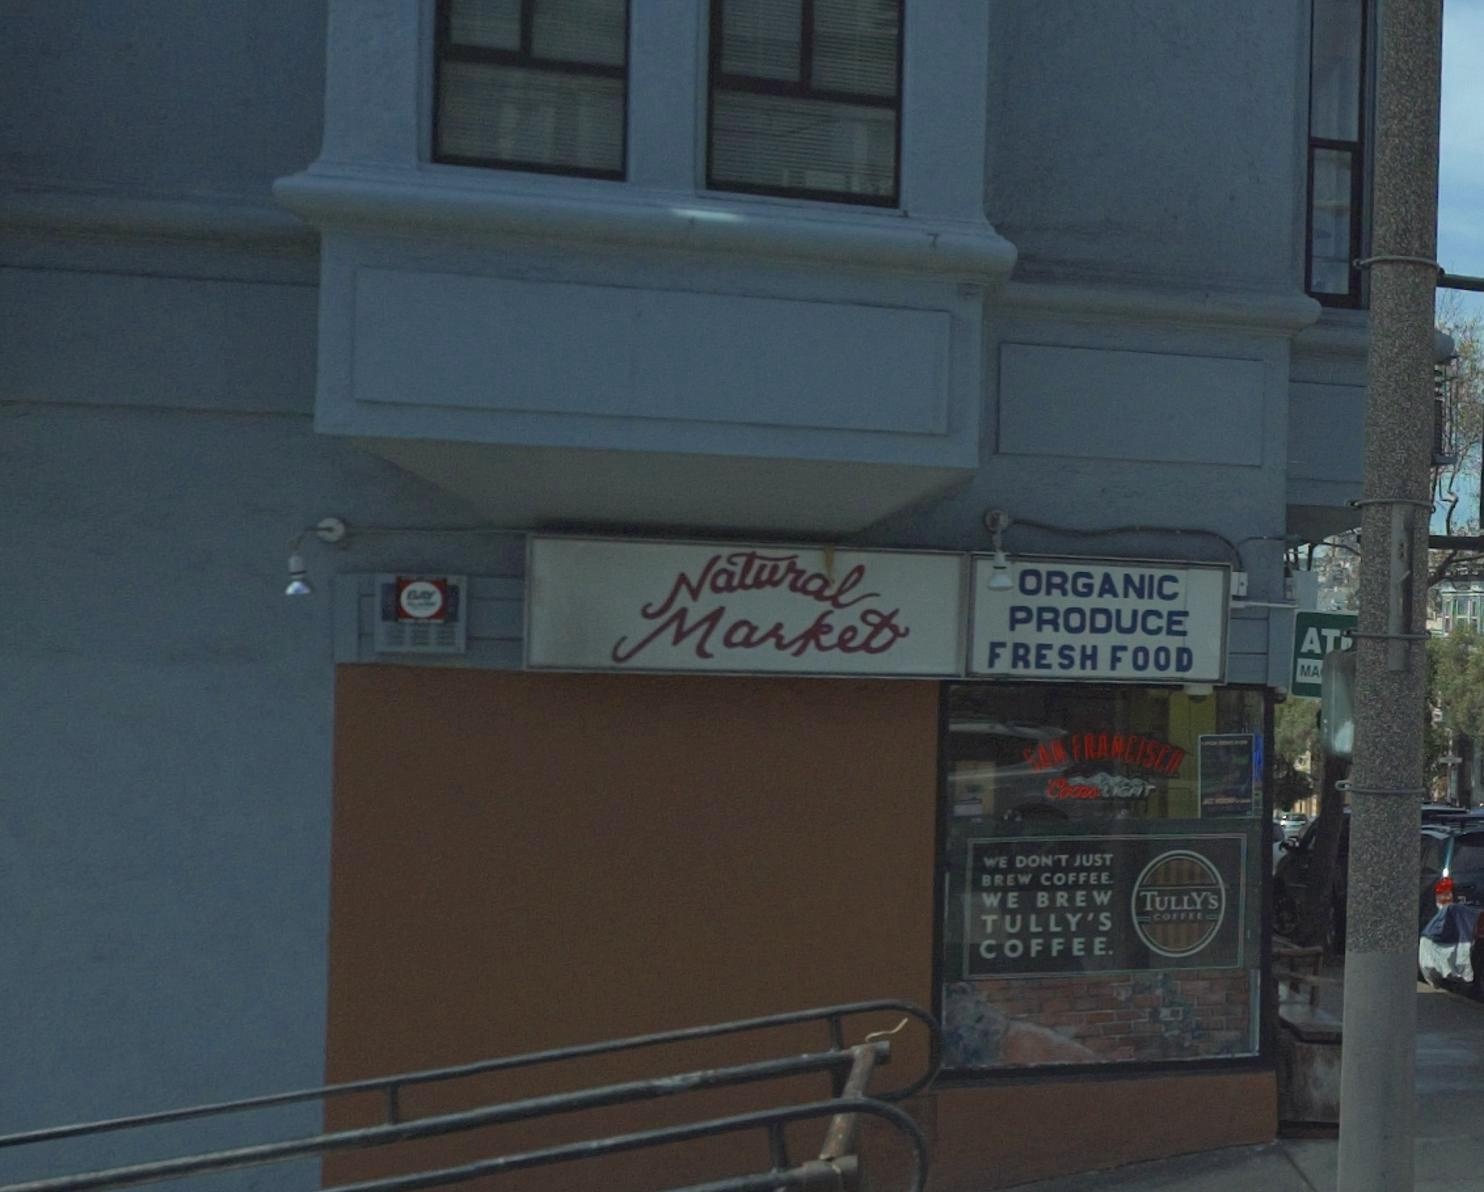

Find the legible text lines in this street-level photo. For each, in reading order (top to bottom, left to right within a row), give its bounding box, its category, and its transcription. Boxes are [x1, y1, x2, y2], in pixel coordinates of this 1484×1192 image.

[404, 586, 437, 601] None: BAY
[638, 547, 885, 624] BusinessName: Natural
[1014, 566, 1184, 603] None: ORGANIC
[606, 602, 917, 666] BusinessName: Market
[1005, 602, 1191, 641] None: PRODUCE
[1295, 621, 1344, 658] None: AT
[984, 638, 1197, 674] None: FRESH FOOD
[1298, 661, 1322, 681] None: MA
[1019, 729, 1192, 781] None: SAN FRANCISCO
[1042, 773, 1158, 803] None: CoorsLIGHT
[979, 851, 1118, 872] None: WE DON'T JUST
[976, 870, 1114, 889] None: BREW COFFEE
[977, 886, 1117, 911] None: WE BREW
[1135, 886, 1223, 913] None: TULLY'S
[975, 908, 1116, 936] None: TULLY'S
[1149, 908, 1205, 925] None: COFFEE
[976, 933, 1116, 962] None: COFFEE